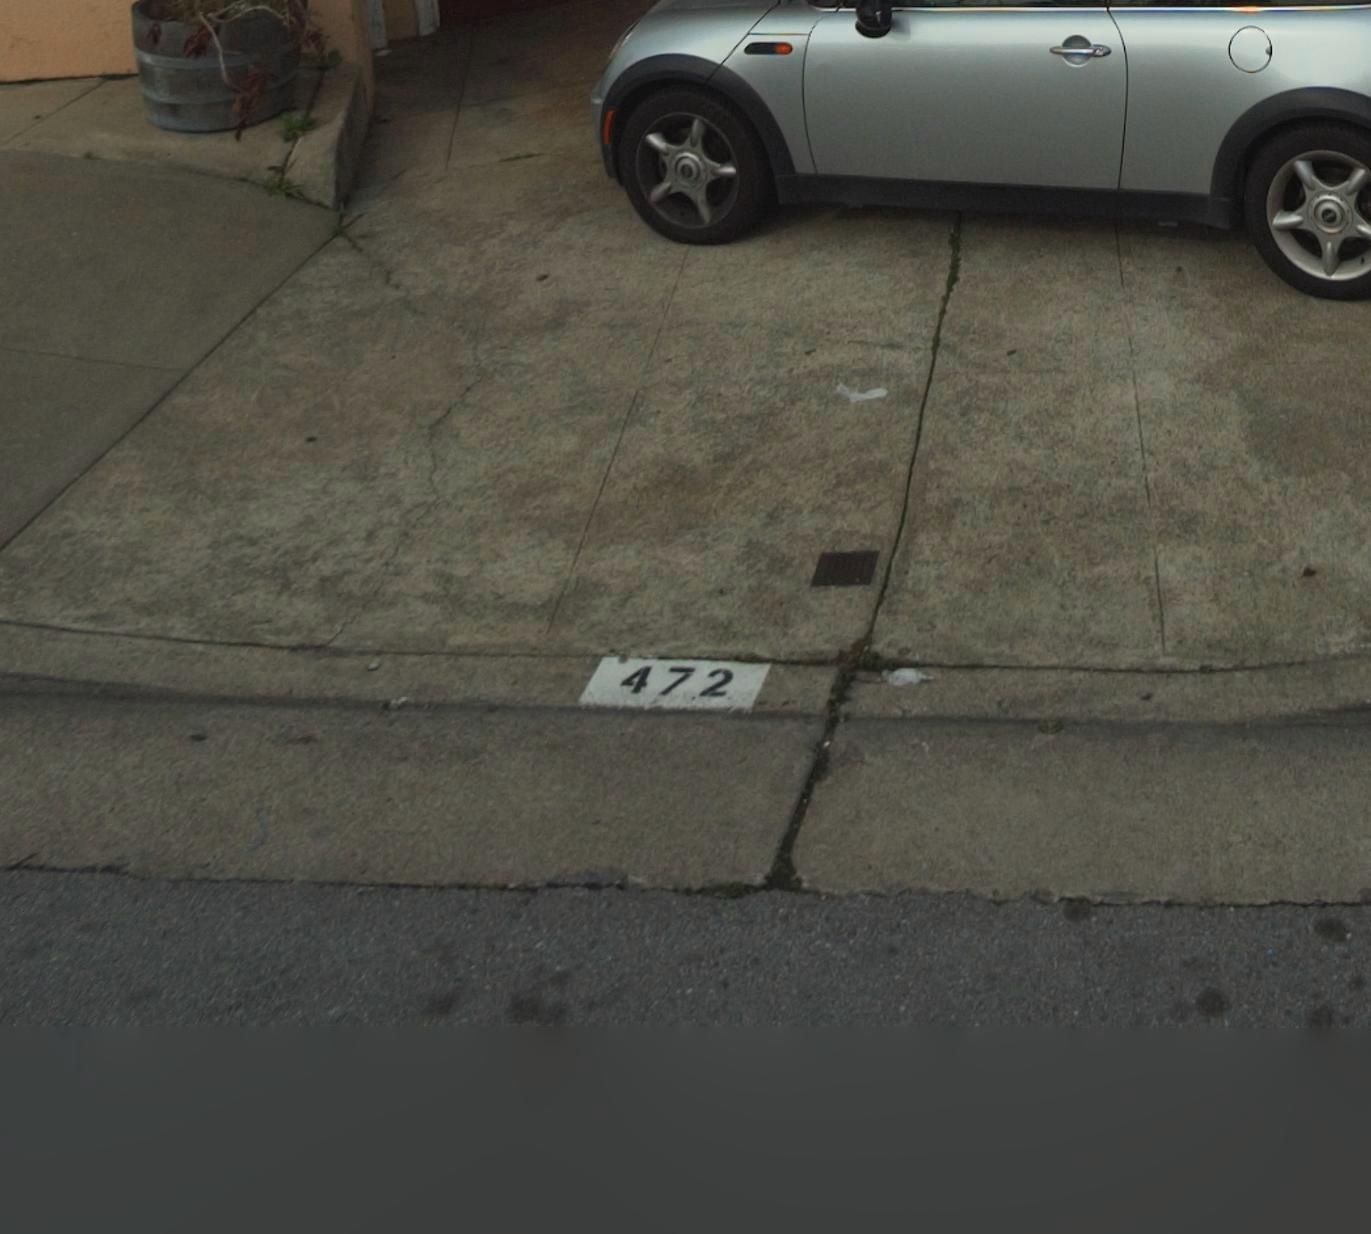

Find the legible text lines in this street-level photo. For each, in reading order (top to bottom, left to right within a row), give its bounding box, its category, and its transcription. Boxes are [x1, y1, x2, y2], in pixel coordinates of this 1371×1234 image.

[610, 664, 738, 701] StreetNumber: 472